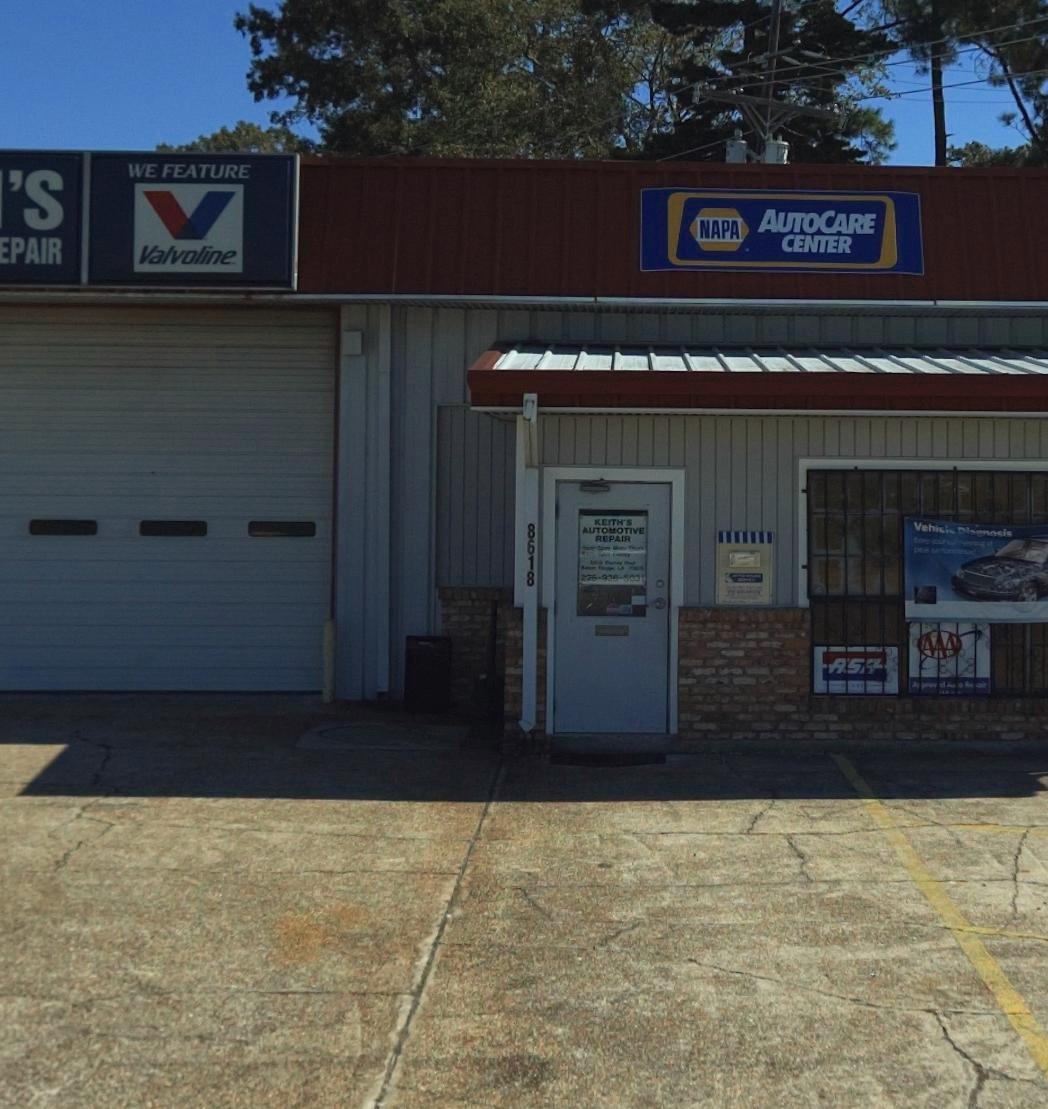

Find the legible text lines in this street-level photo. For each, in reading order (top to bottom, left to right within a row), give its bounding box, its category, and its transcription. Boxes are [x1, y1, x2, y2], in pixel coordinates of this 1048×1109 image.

[125, 162, 253, 180] None: WE FEATURE
[20, 166, 67, 233] BusinessName: S
[135, 188, 243, 244] None: V
[698, 217, 742, 242] None: NAPA
[754, 206, 880, 236] None: AUTOCARE
[8, 233, 66, 267] BusinessName: PAIR
[135, 242, 241, 268] None: Valvoline
[778, 232, 855, 256] None: CENTER
[580, 525, 646, 535] BusinessName: AUTOMOTIVE
[593, 533, 633, 544] BusinessName: REPAIR
[593, 517, 634, 528] BusinessName: KEITH'S
[910, 519, 941, 535] None: Vehi
[525, 521, 537, 589] StreetNumber: 8618
[825, 655, 888, 676] None: AS*